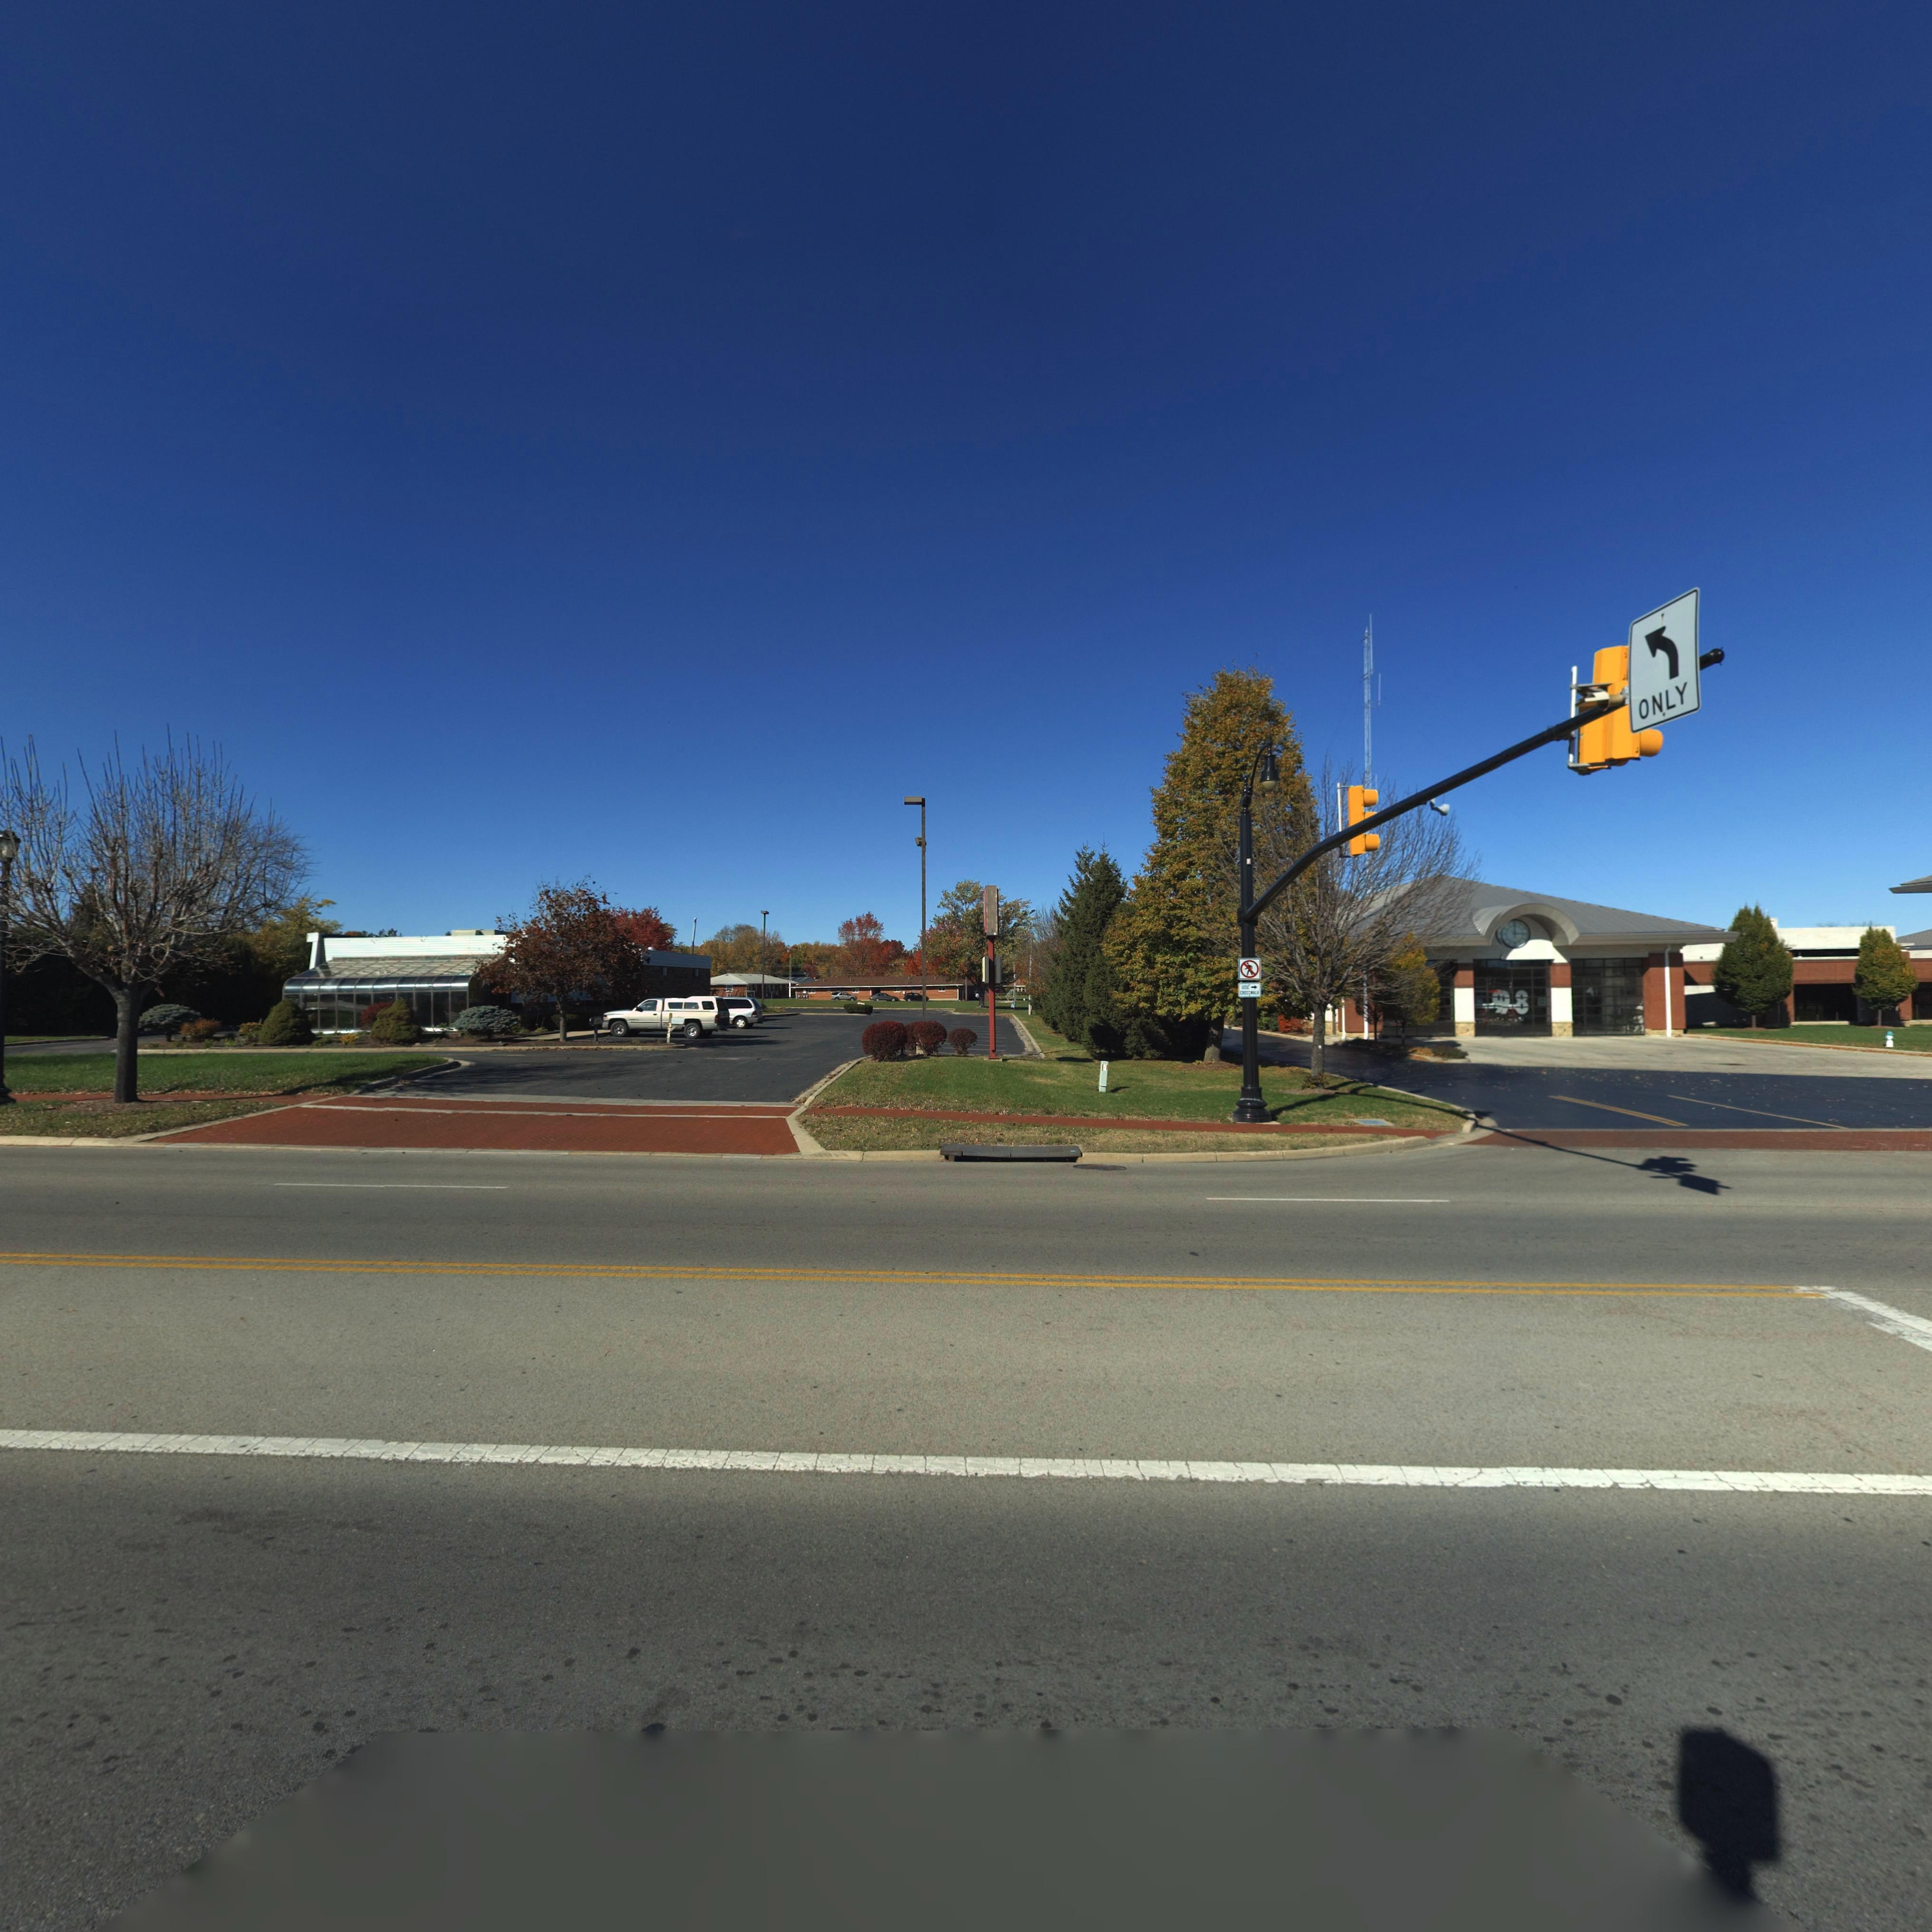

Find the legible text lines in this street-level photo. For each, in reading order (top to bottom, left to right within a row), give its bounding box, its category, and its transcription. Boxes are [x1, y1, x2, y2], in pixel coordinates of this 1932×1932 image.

[1637, 679, 1689, 722] None: ONLY
[1241, 985, 1250, 990] None: USE
[1239, 990, 1260, 995] None: CROSSWALK
[1491, 987, 1530, 1016] None: *8
[666, 1022, 672, 1039] StreetNumber: 375